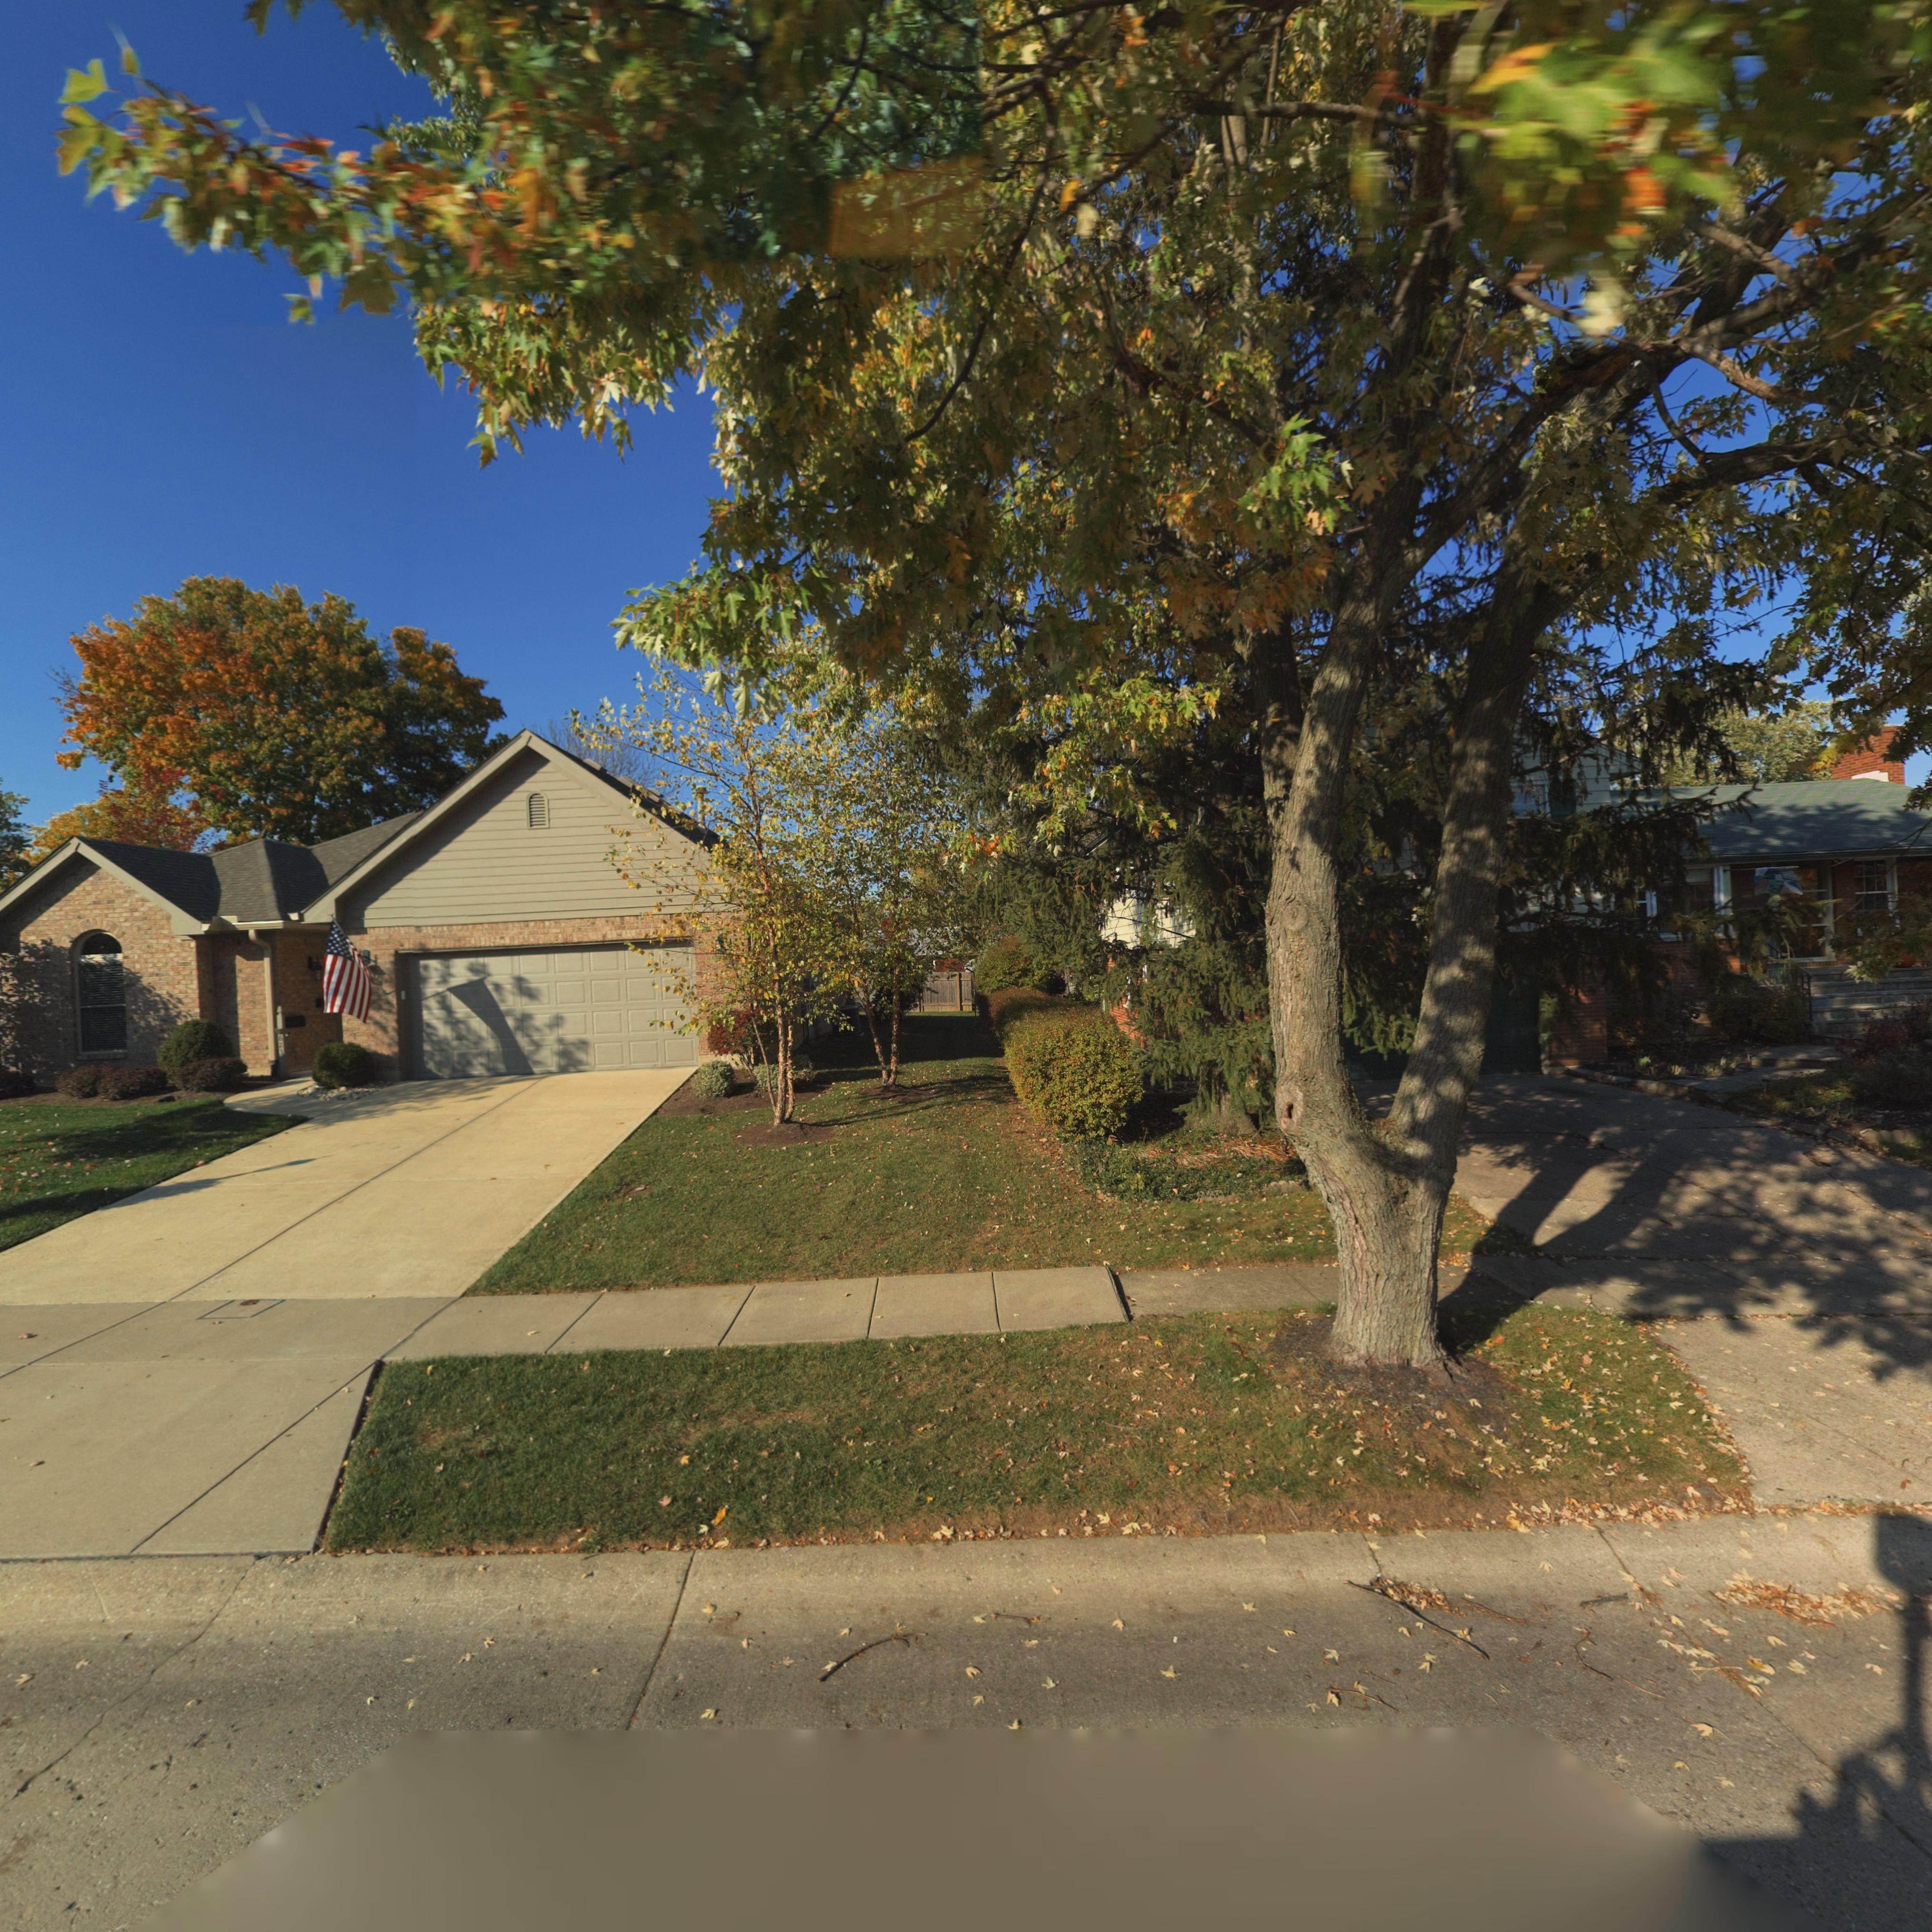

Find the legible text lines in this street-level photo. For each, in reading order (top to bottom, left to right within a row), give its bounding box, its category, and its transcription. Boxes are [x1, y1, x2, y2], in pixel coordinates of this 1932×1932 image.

[278, 1034, 284, 1056] StreetNumber: 623